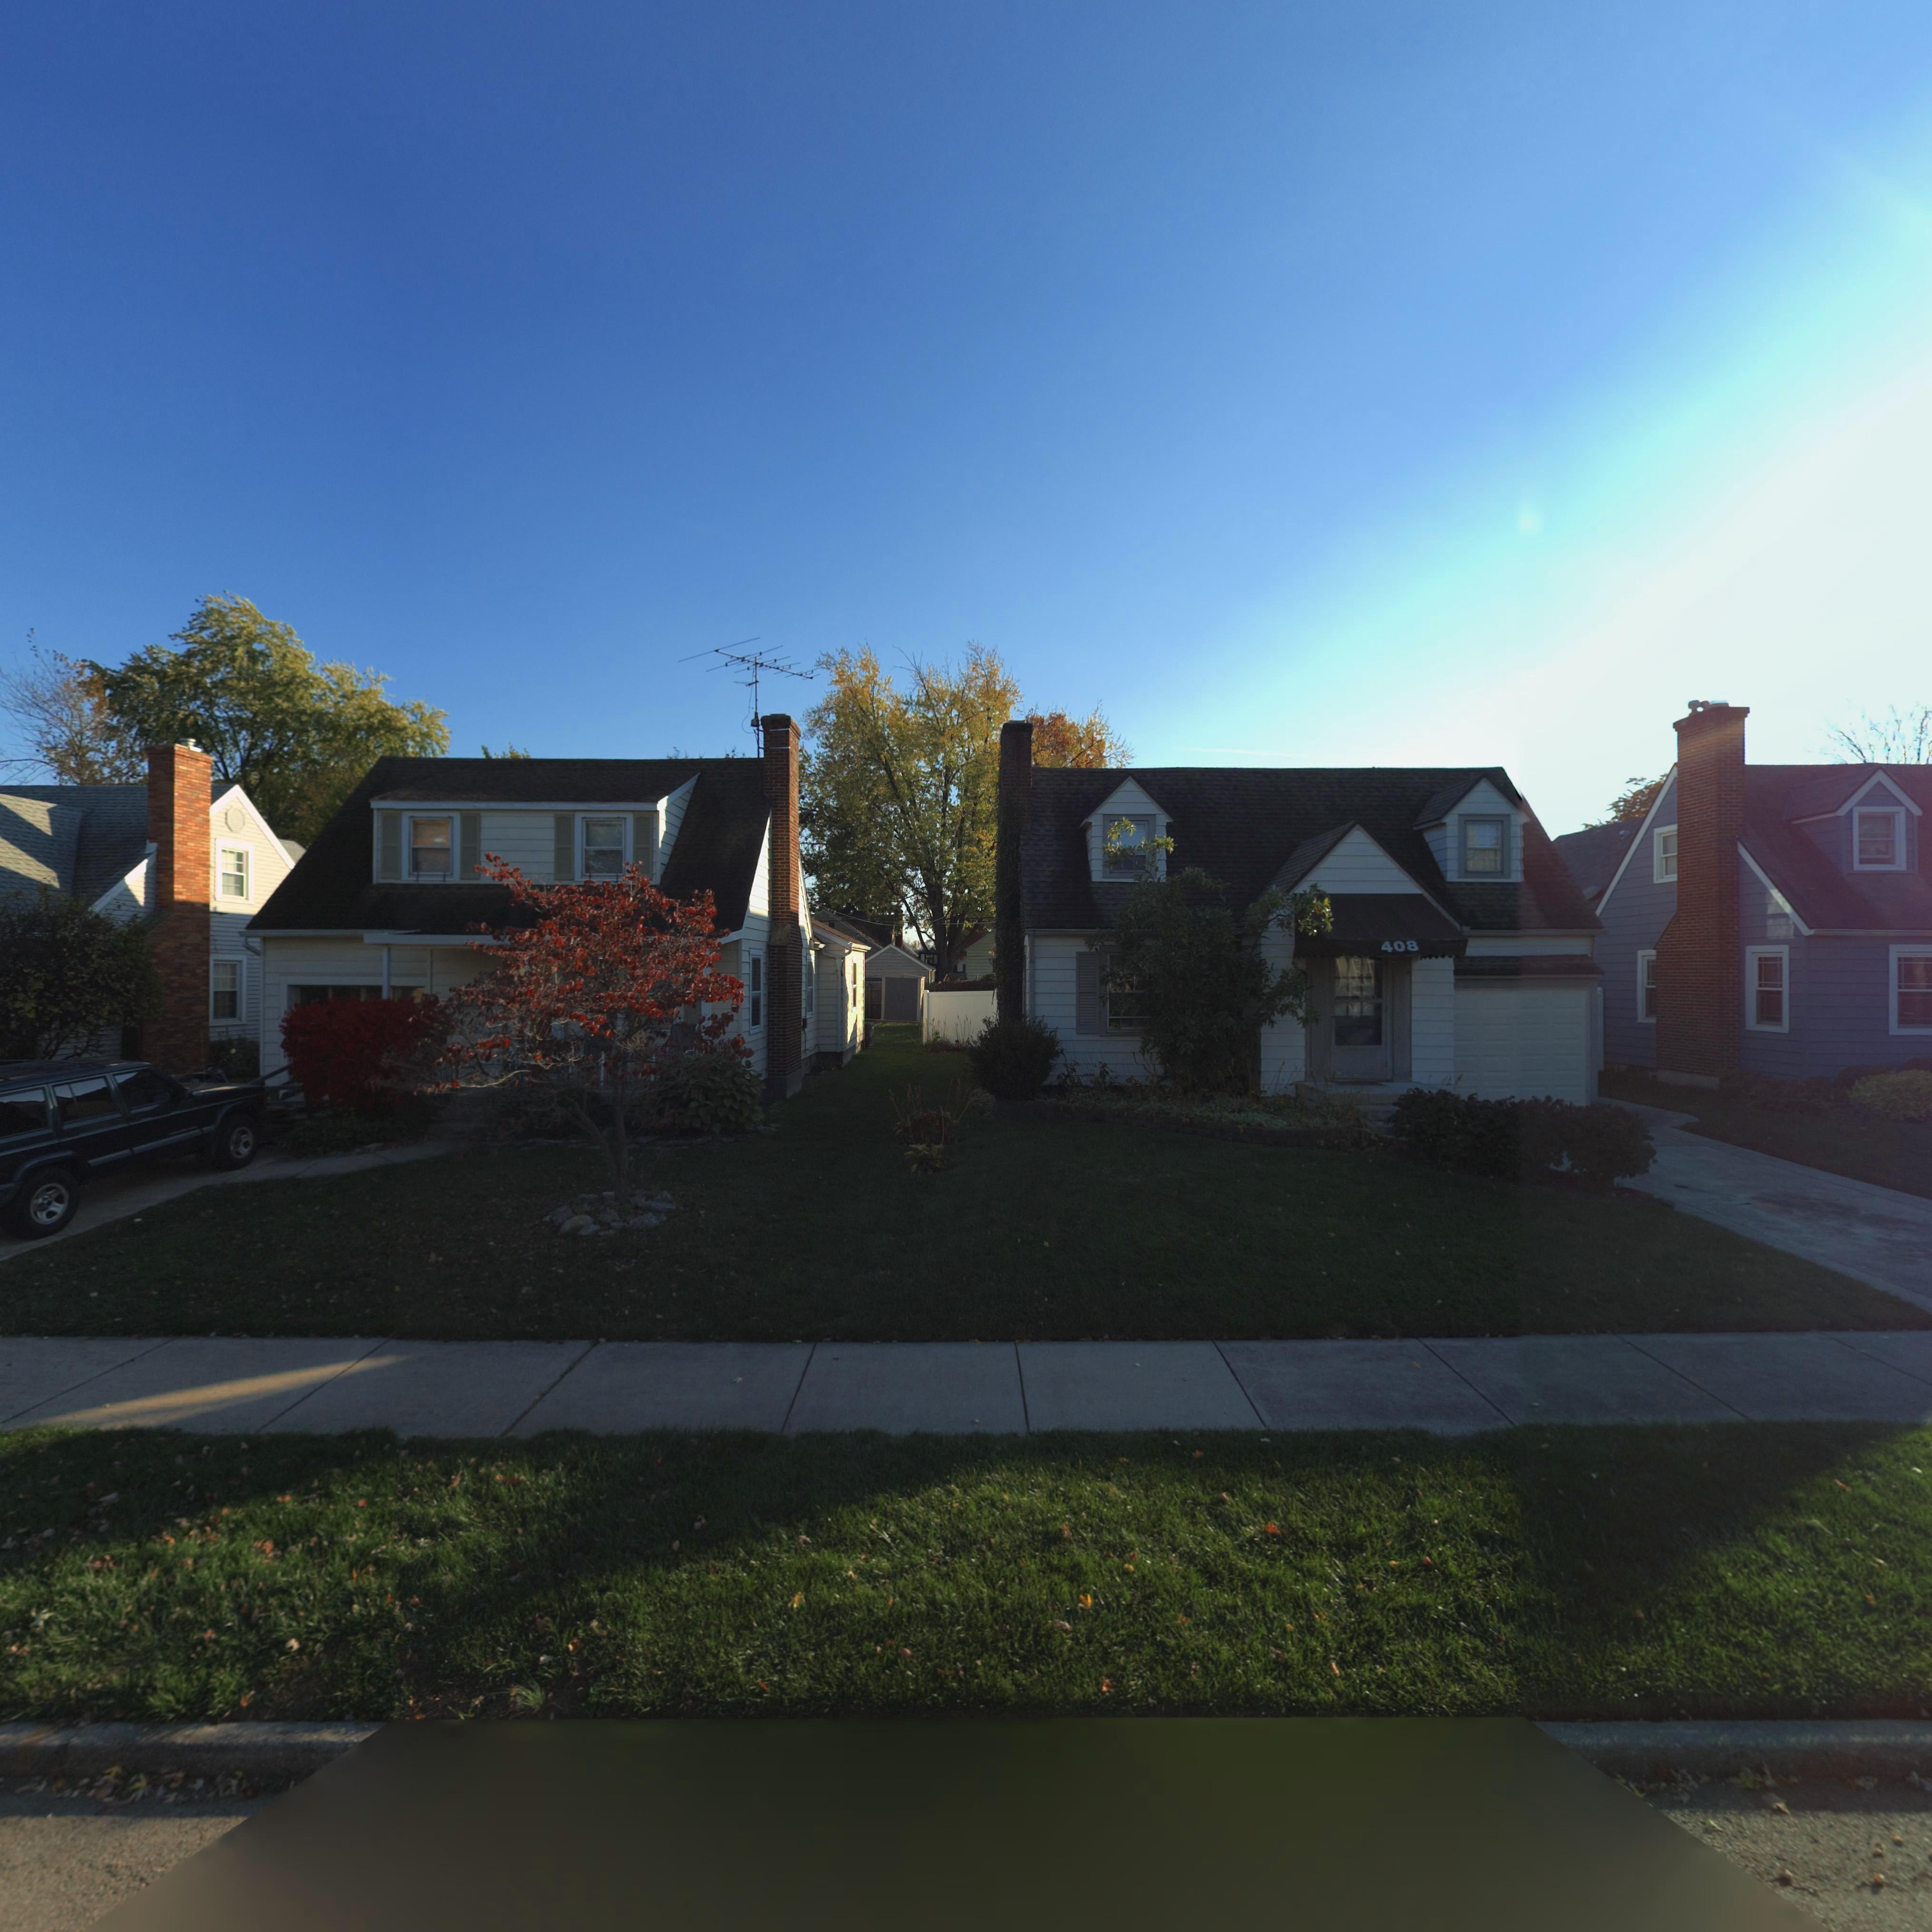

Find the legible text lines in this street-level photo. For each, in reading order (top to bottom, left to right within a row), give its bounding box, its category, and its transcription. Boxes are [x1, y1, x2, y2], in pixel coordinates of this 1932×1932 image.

[1380, 939, 1421, 954] StreetNumber: 408